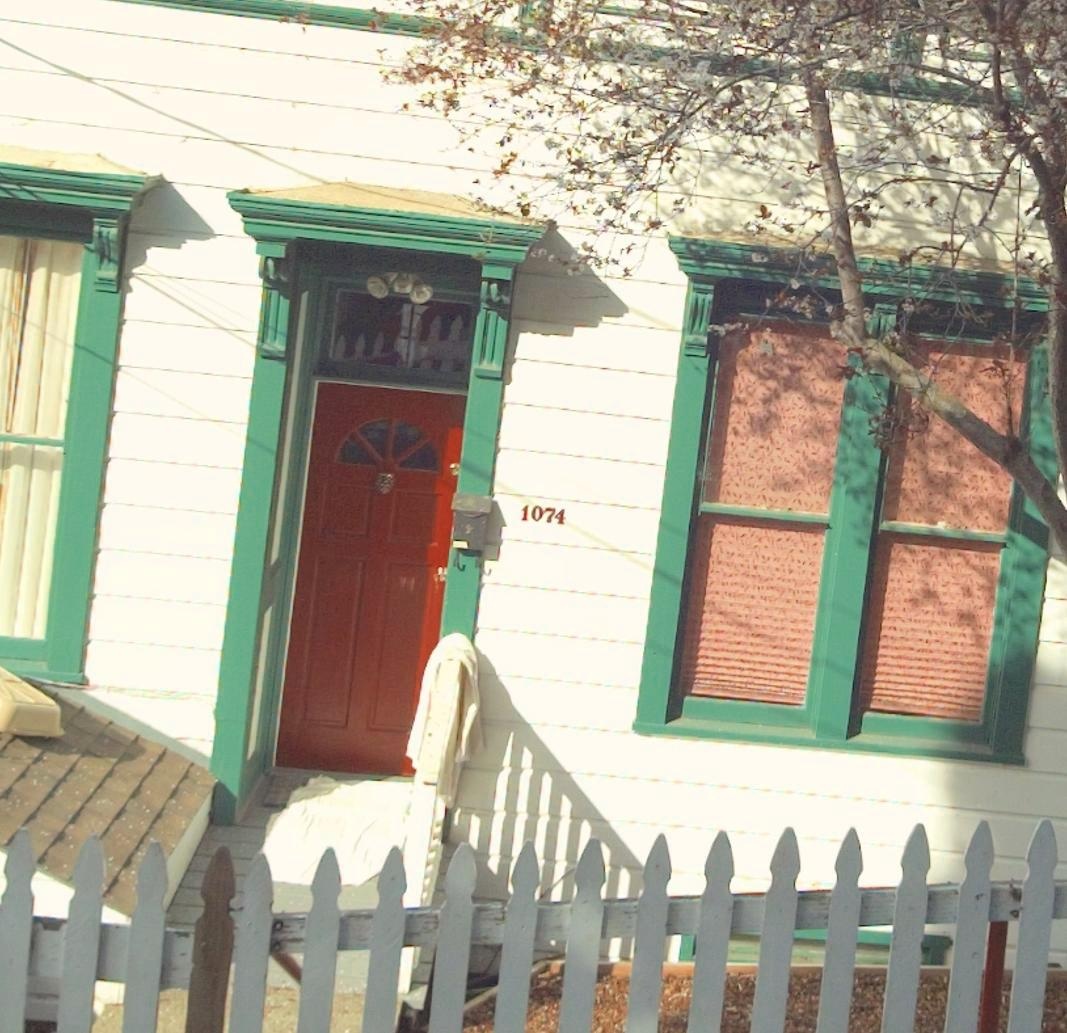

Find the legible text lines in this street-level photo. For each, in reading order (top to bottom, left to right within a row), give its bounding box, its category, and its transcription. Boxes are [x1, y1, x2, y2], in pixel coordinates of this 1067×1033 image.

[519, 504, 567, 526] StreetNumber: 1074